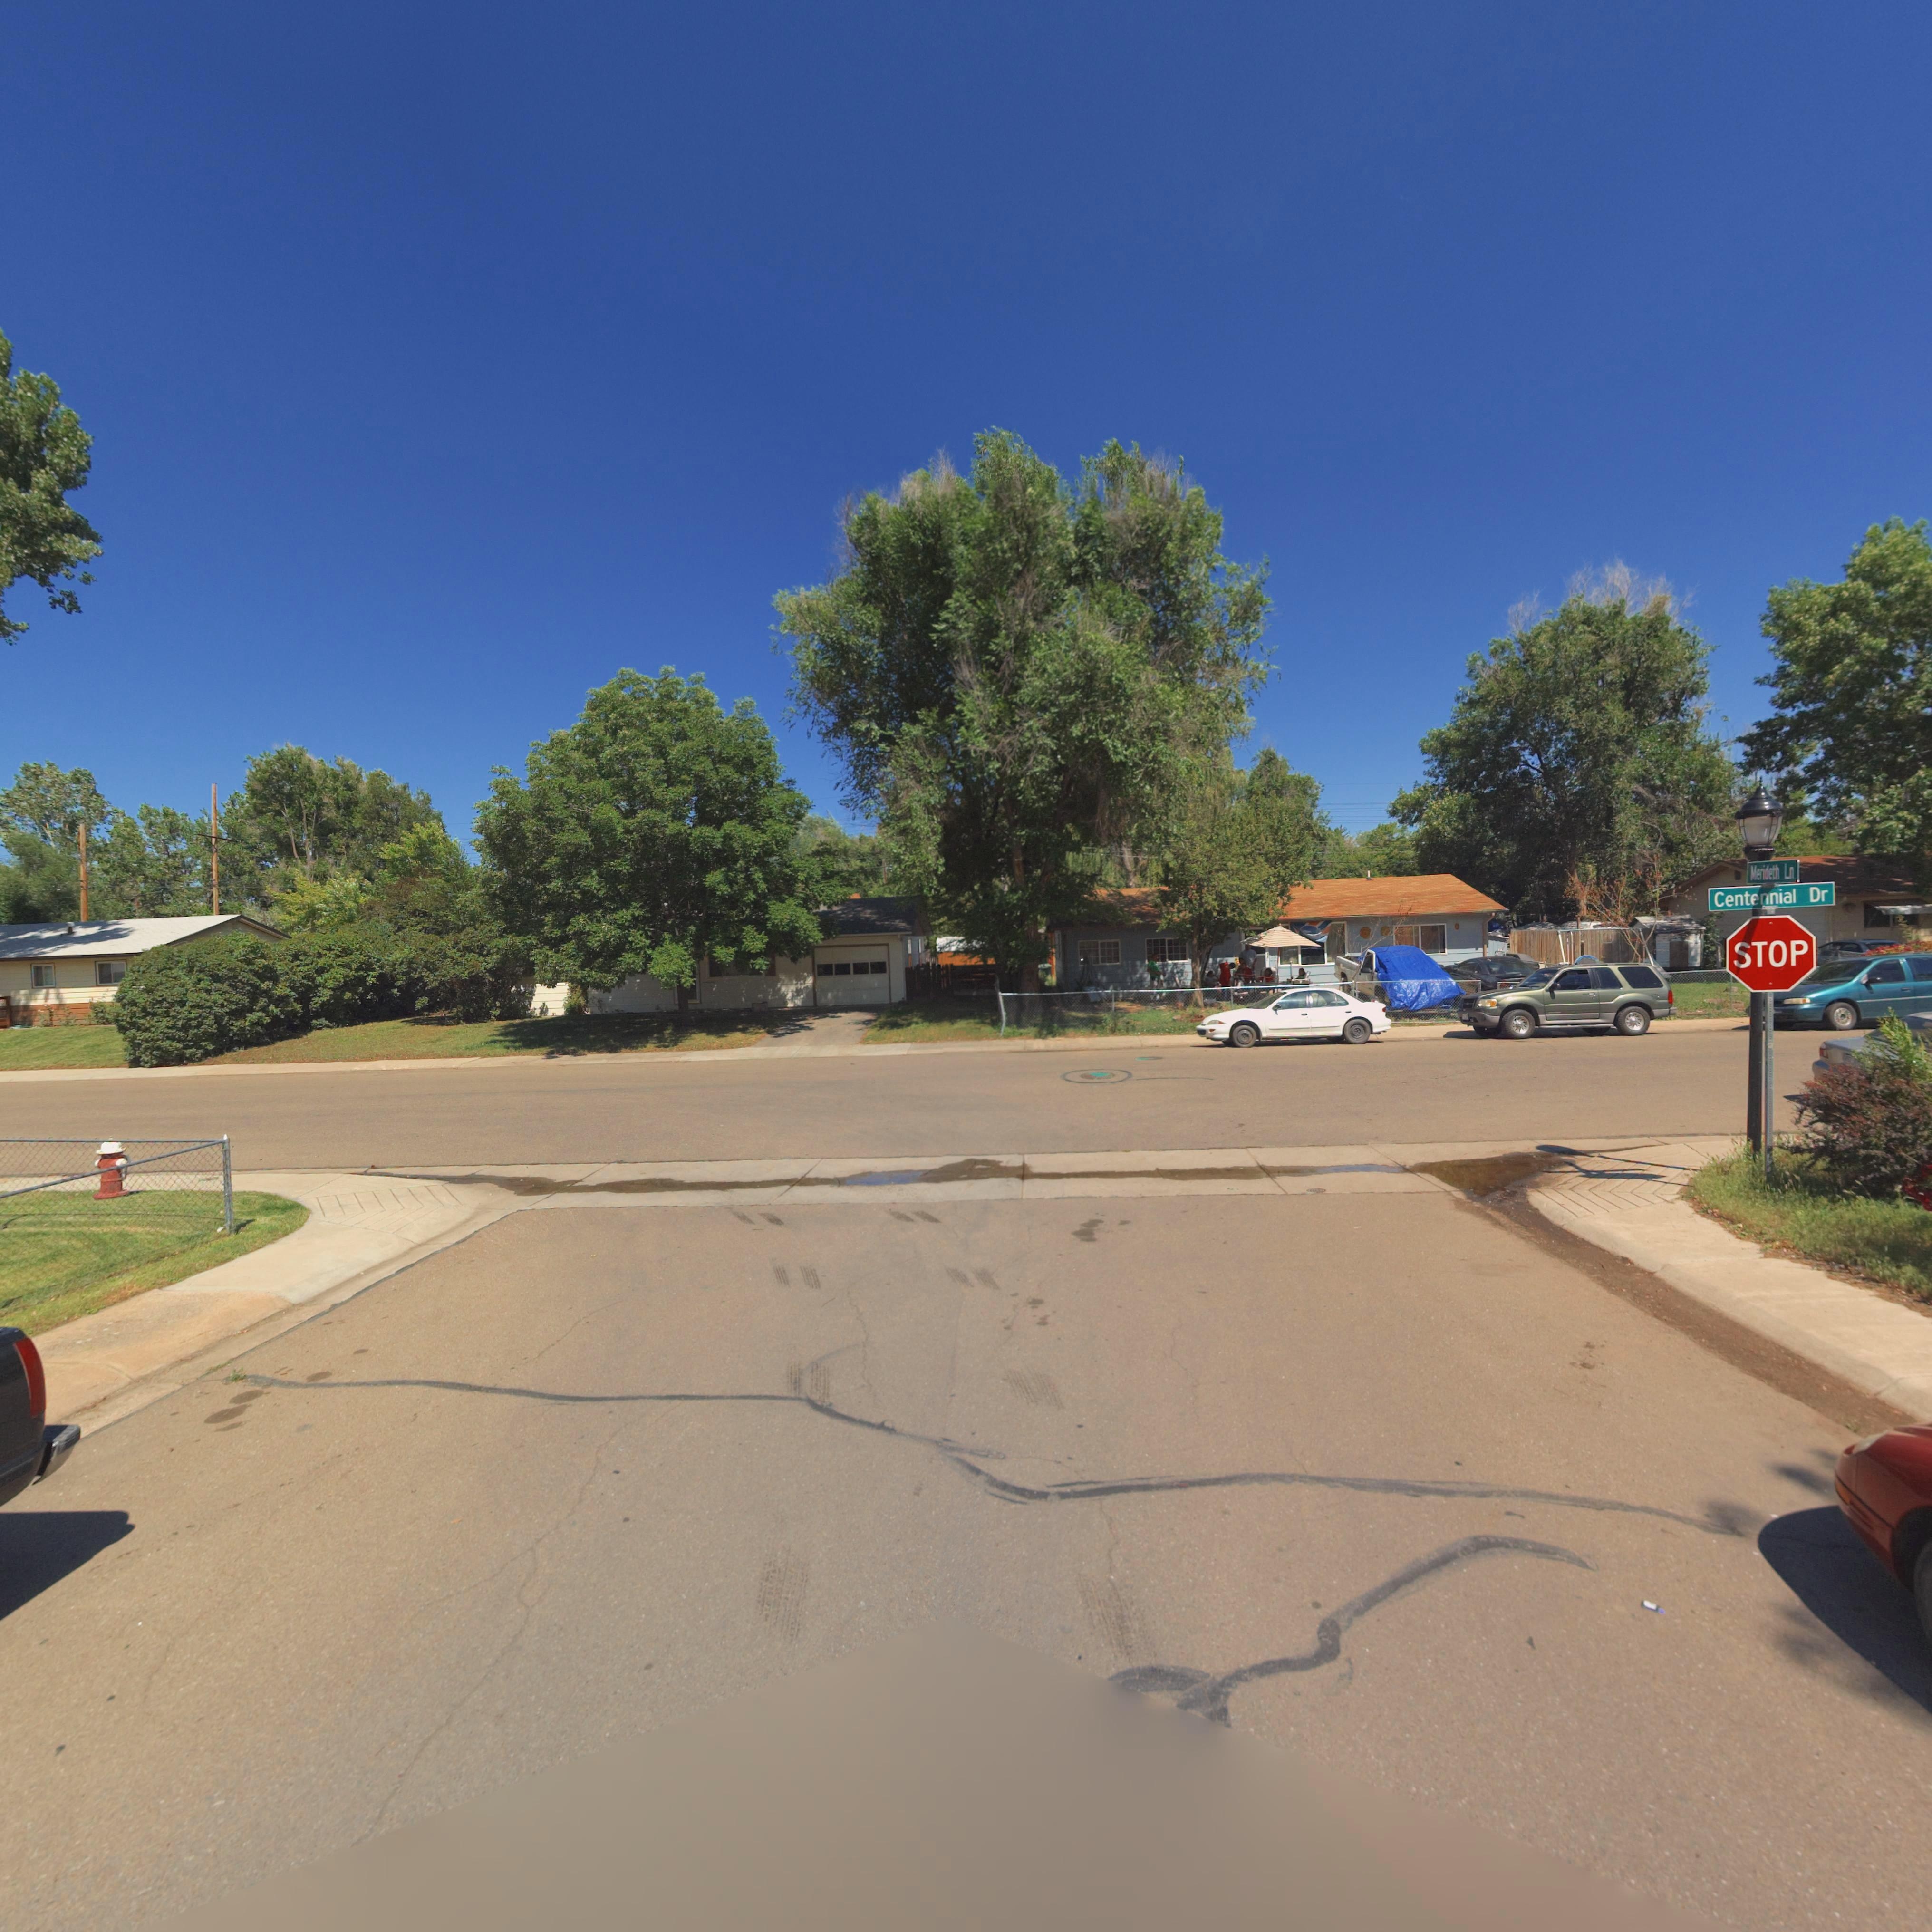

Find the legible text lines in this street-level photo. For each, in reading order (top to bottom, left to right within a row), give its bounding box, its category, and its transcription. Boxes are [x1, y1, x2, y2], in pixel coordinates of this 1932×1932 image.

[1749, 862, 1795, 881] StreetName: Merideth Ln
[1713, 886, 1828, 908] StreetName: Centennial Dr